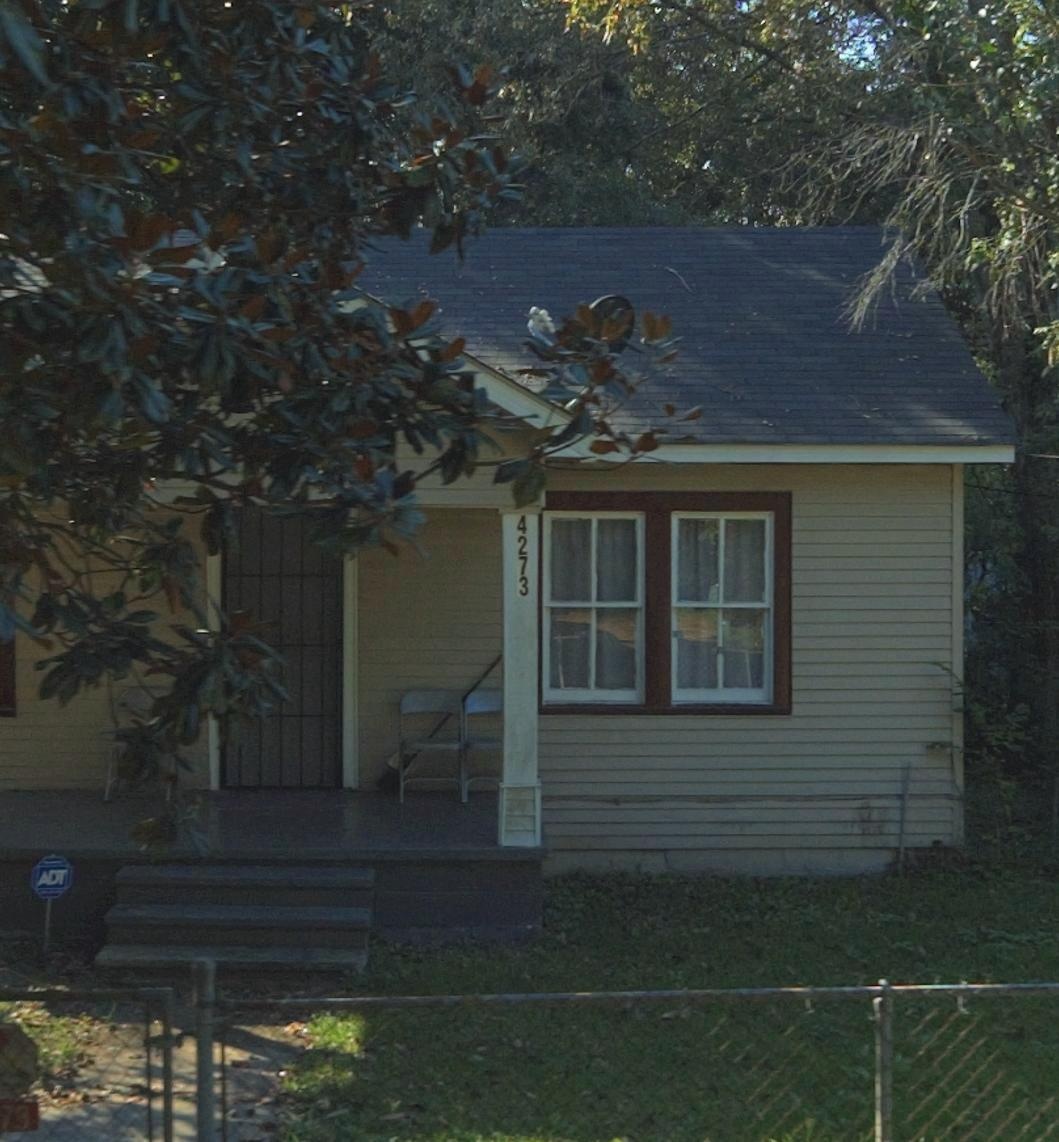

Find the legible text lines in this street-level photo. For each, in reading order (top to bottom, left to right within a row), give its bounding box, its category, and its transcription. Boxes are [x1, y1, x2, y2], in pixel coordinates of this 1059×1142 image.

[517, 514, 529, 598] StreetNumber: 4273
[35, 869, 69, 887] None: ADT